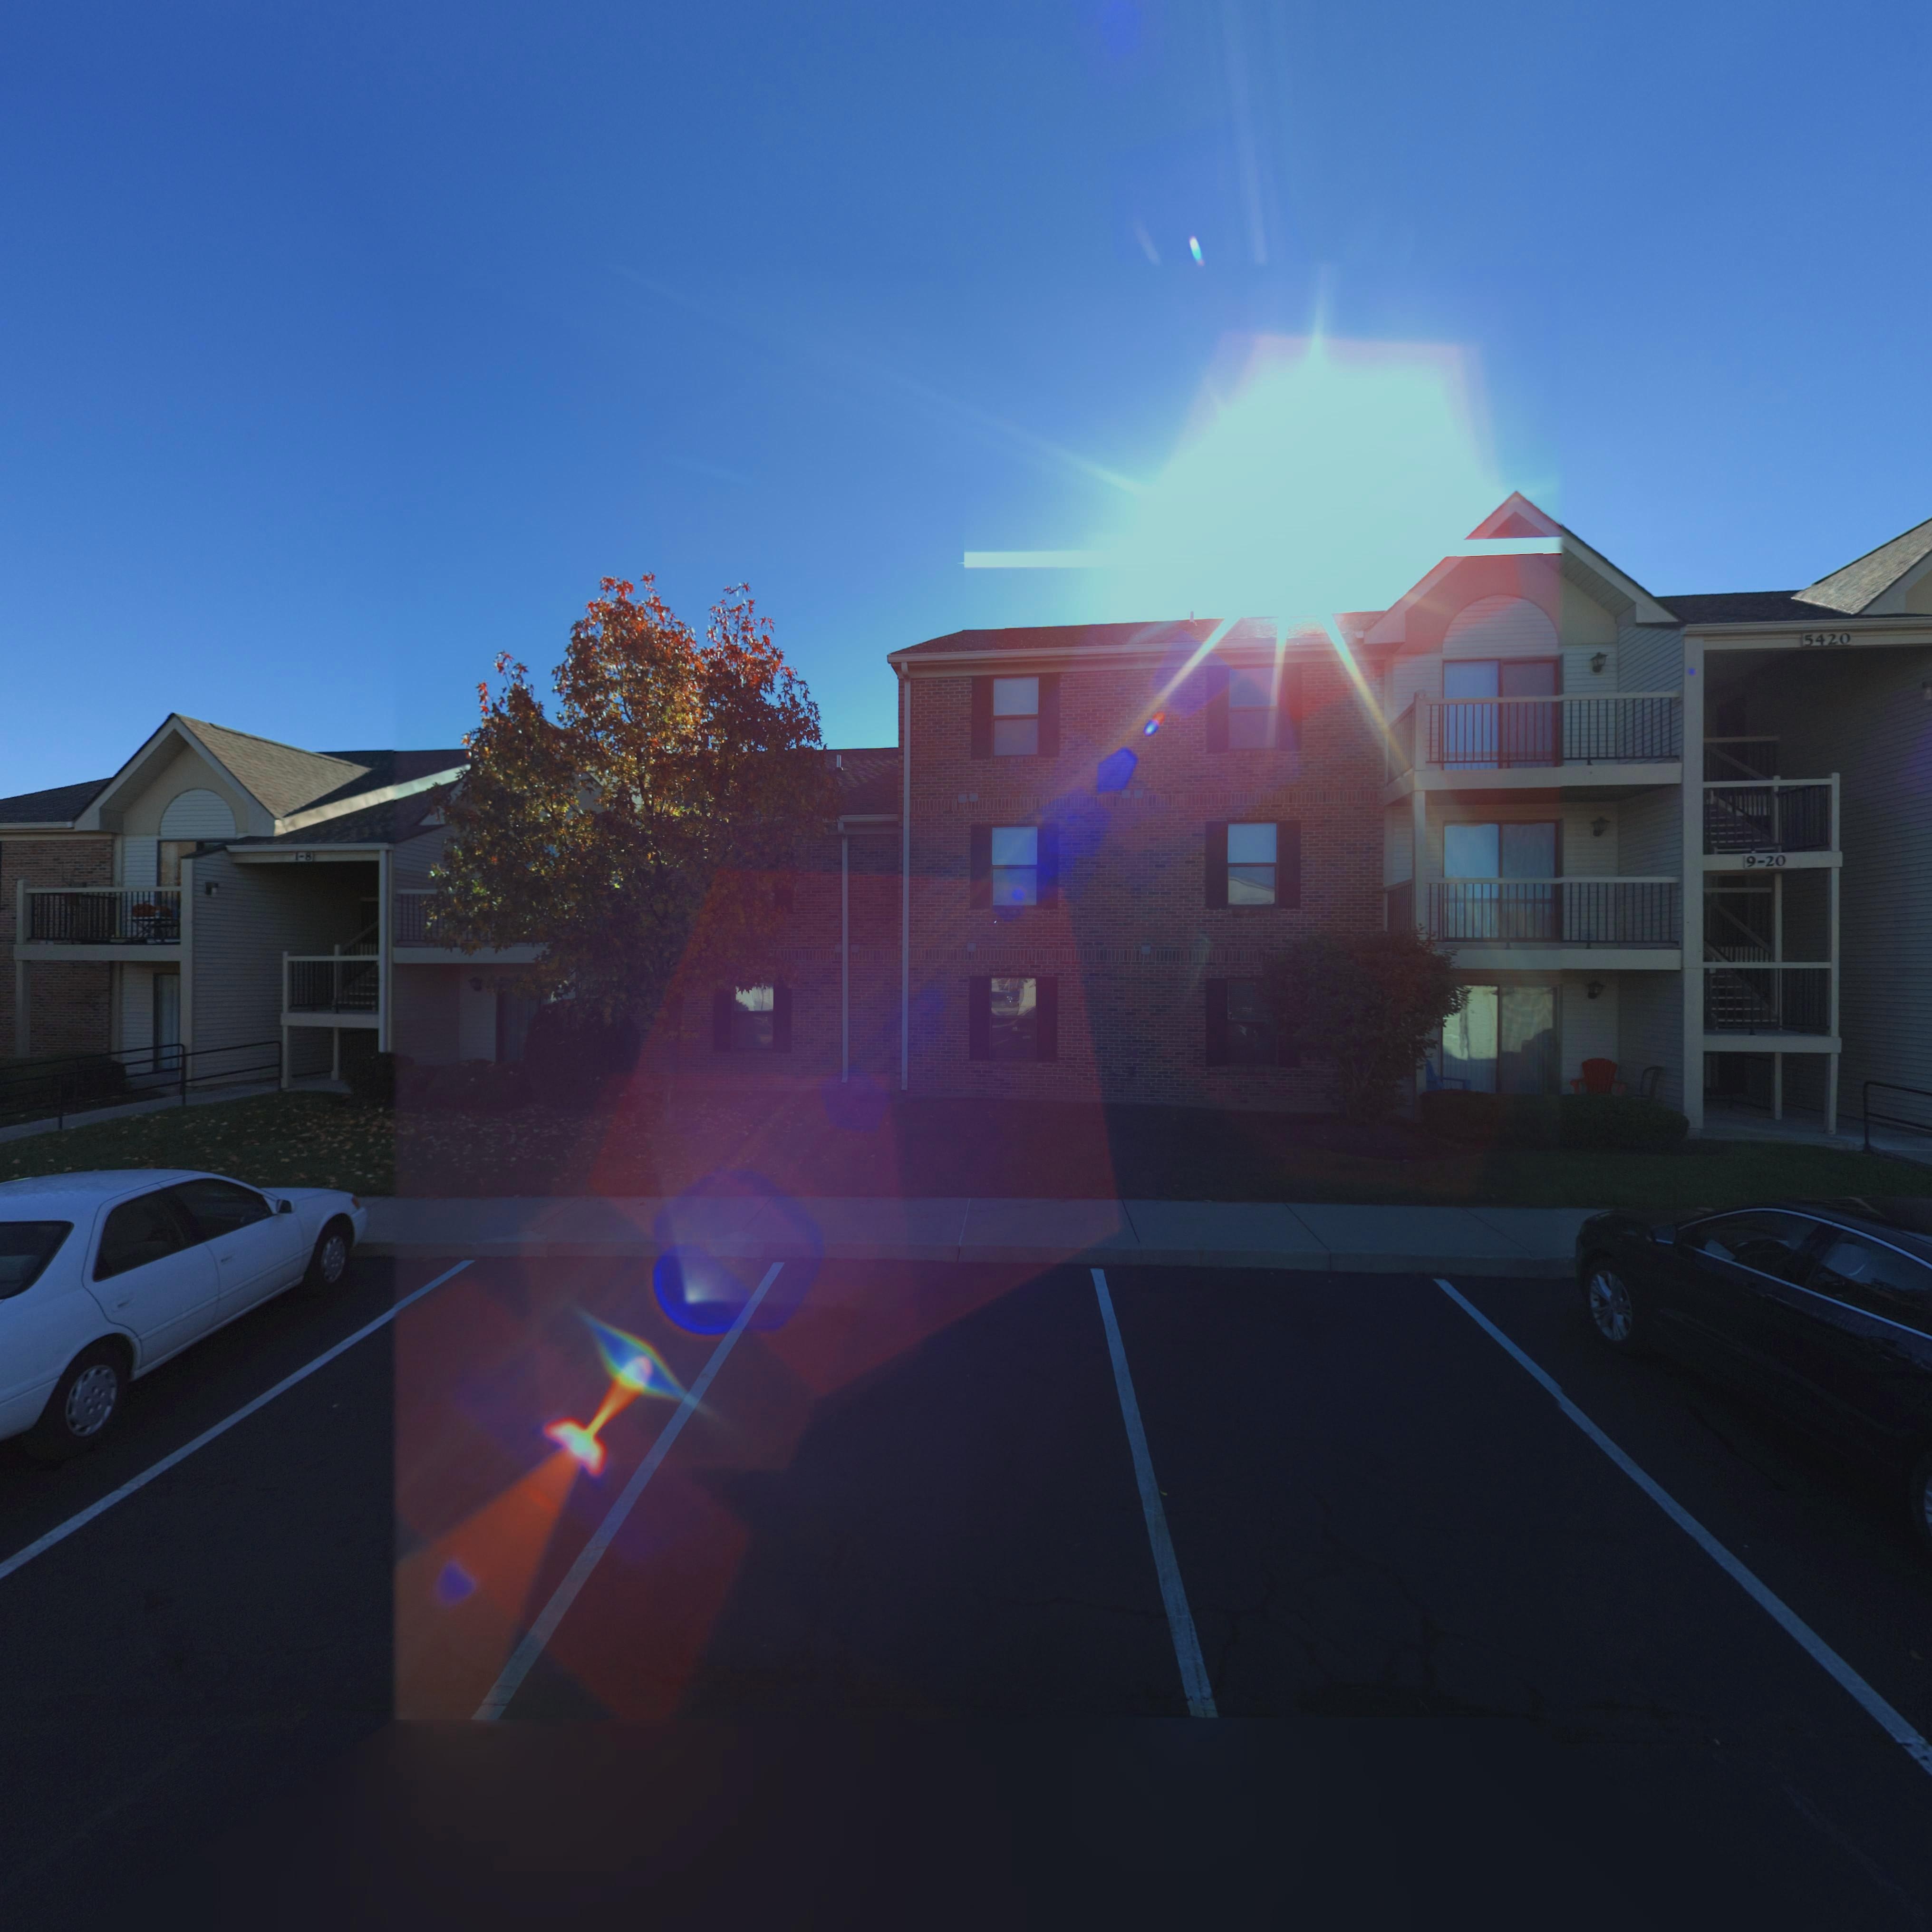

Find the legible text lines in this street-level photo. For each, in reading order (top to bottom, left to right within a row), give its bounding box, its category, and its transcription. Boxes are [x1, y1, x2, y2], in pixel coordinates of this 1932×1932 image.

[1804, 632, 1851, 647] StreetNumber: 5420
[294, 851, 312, 861] StreetNumber: 1-8
[1745, 854, 1786, 868] StreetNumber: 9-20